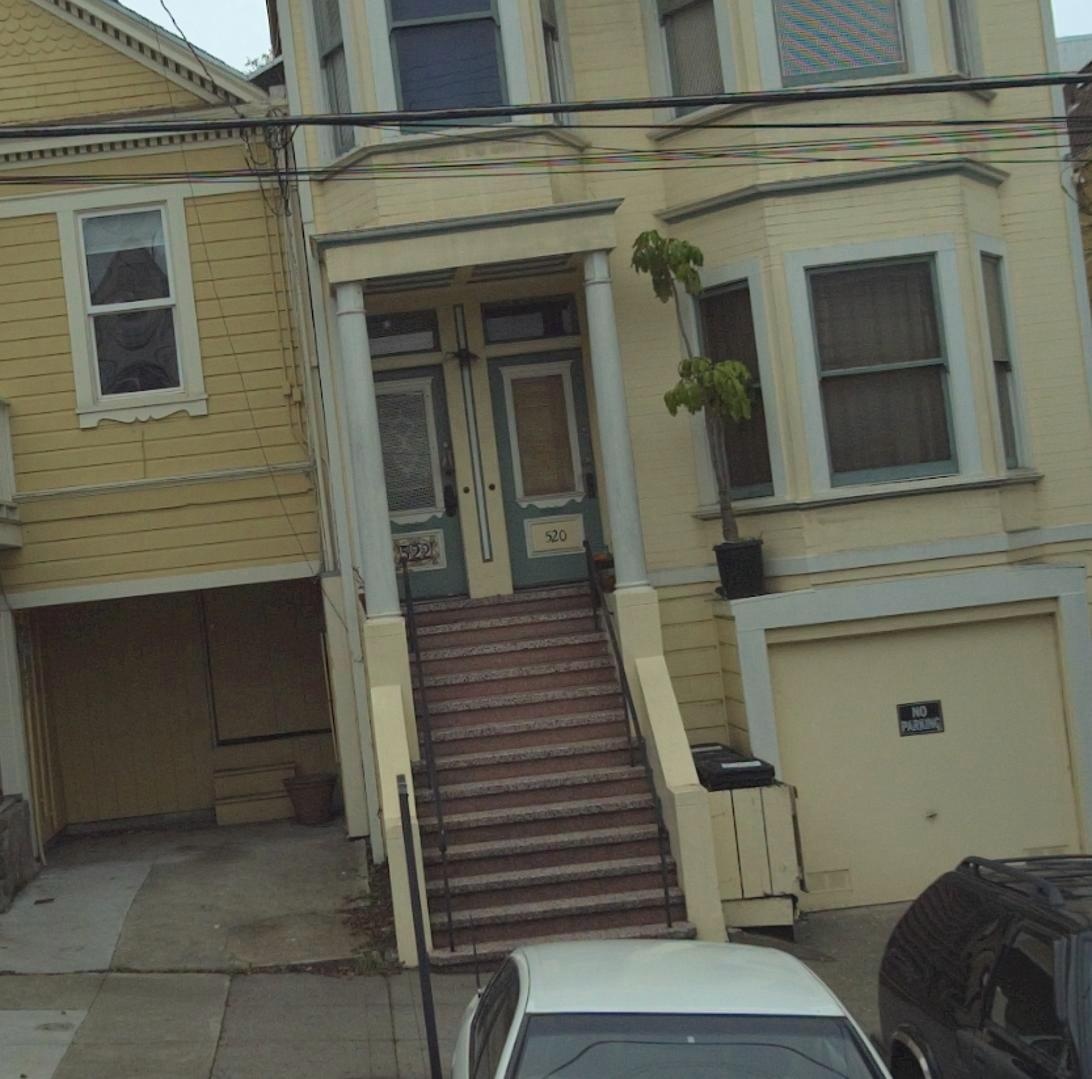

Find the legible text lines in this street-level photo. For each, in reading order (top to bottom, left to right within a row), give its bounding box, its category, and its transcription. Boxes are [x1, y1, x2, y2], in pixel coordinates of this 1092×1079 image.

[543, 528, 569, 545] StreetNumber: 520
[398, 542, 433, 562] StreetNumber: *22
[910, 703, 930, 719] None: NO
[899, 715, 942, 733] None: PARKING